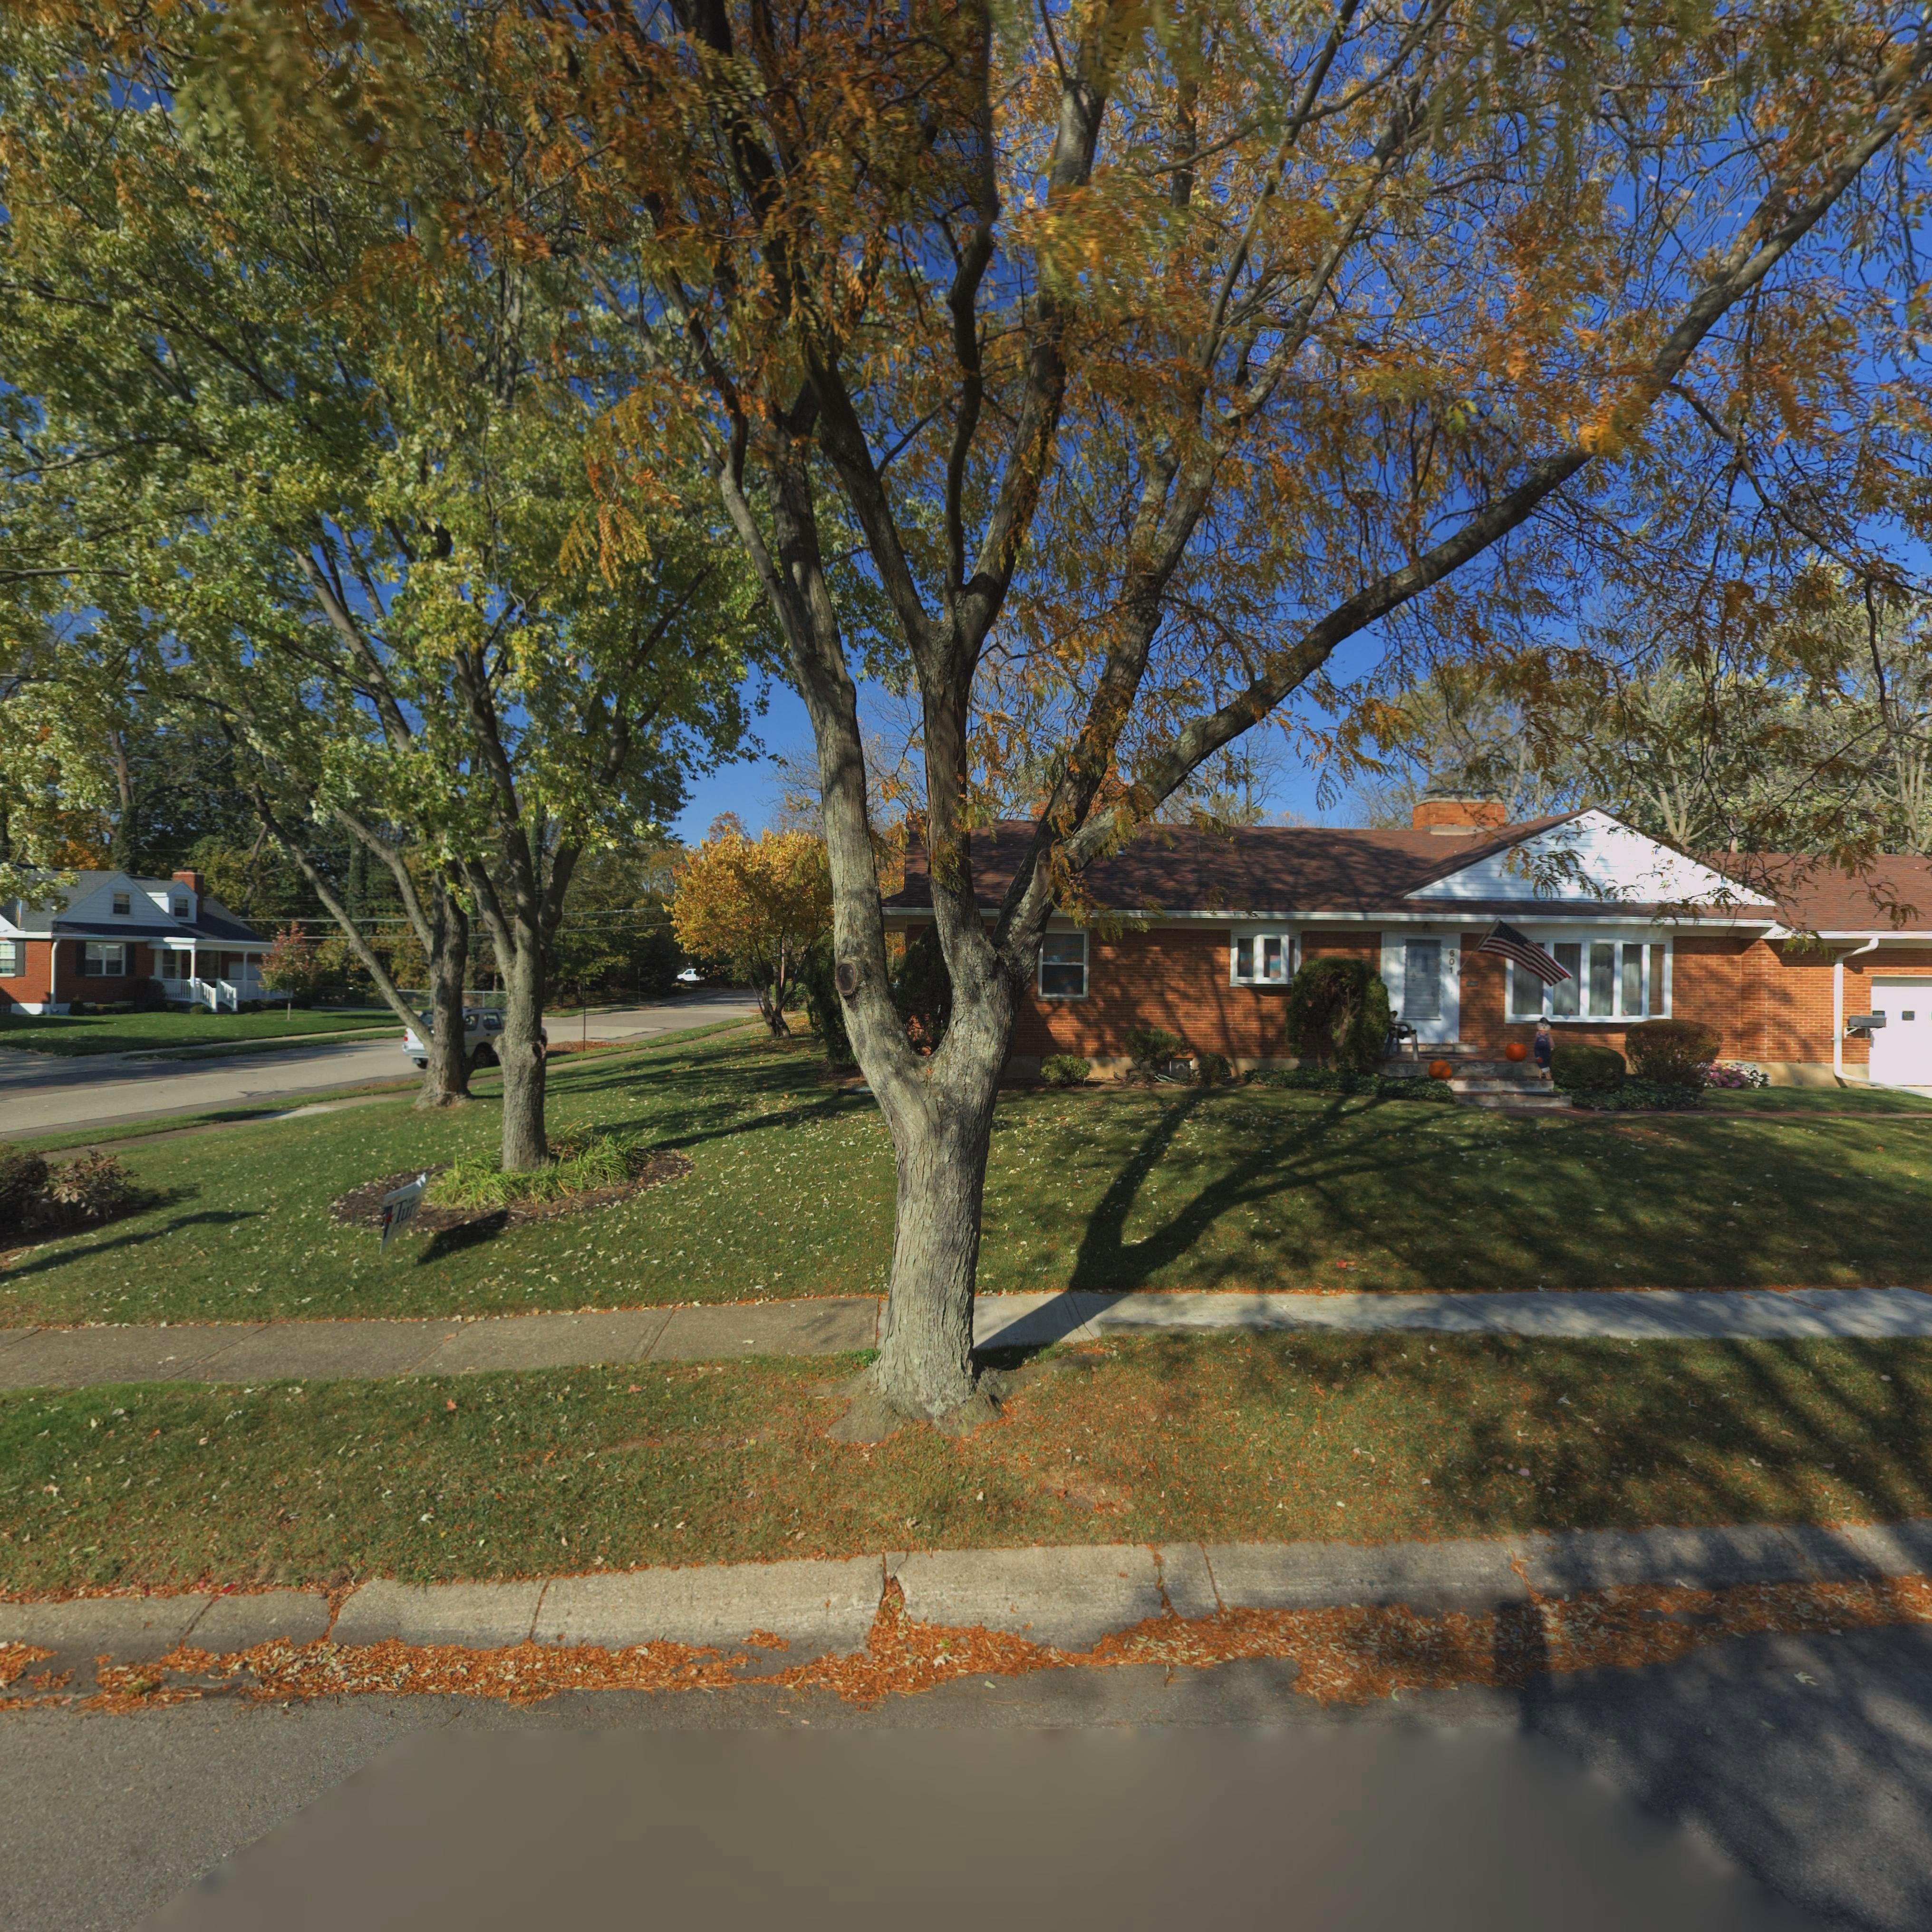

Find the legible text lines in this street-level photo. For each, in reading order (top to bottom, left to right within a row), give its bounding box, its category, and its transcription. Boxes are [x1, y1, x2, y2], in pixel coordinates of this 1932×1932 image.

[1448, 949, 1456, 974] StreetNumber: 601
[393, 1198, 416, 1226] None: Tur